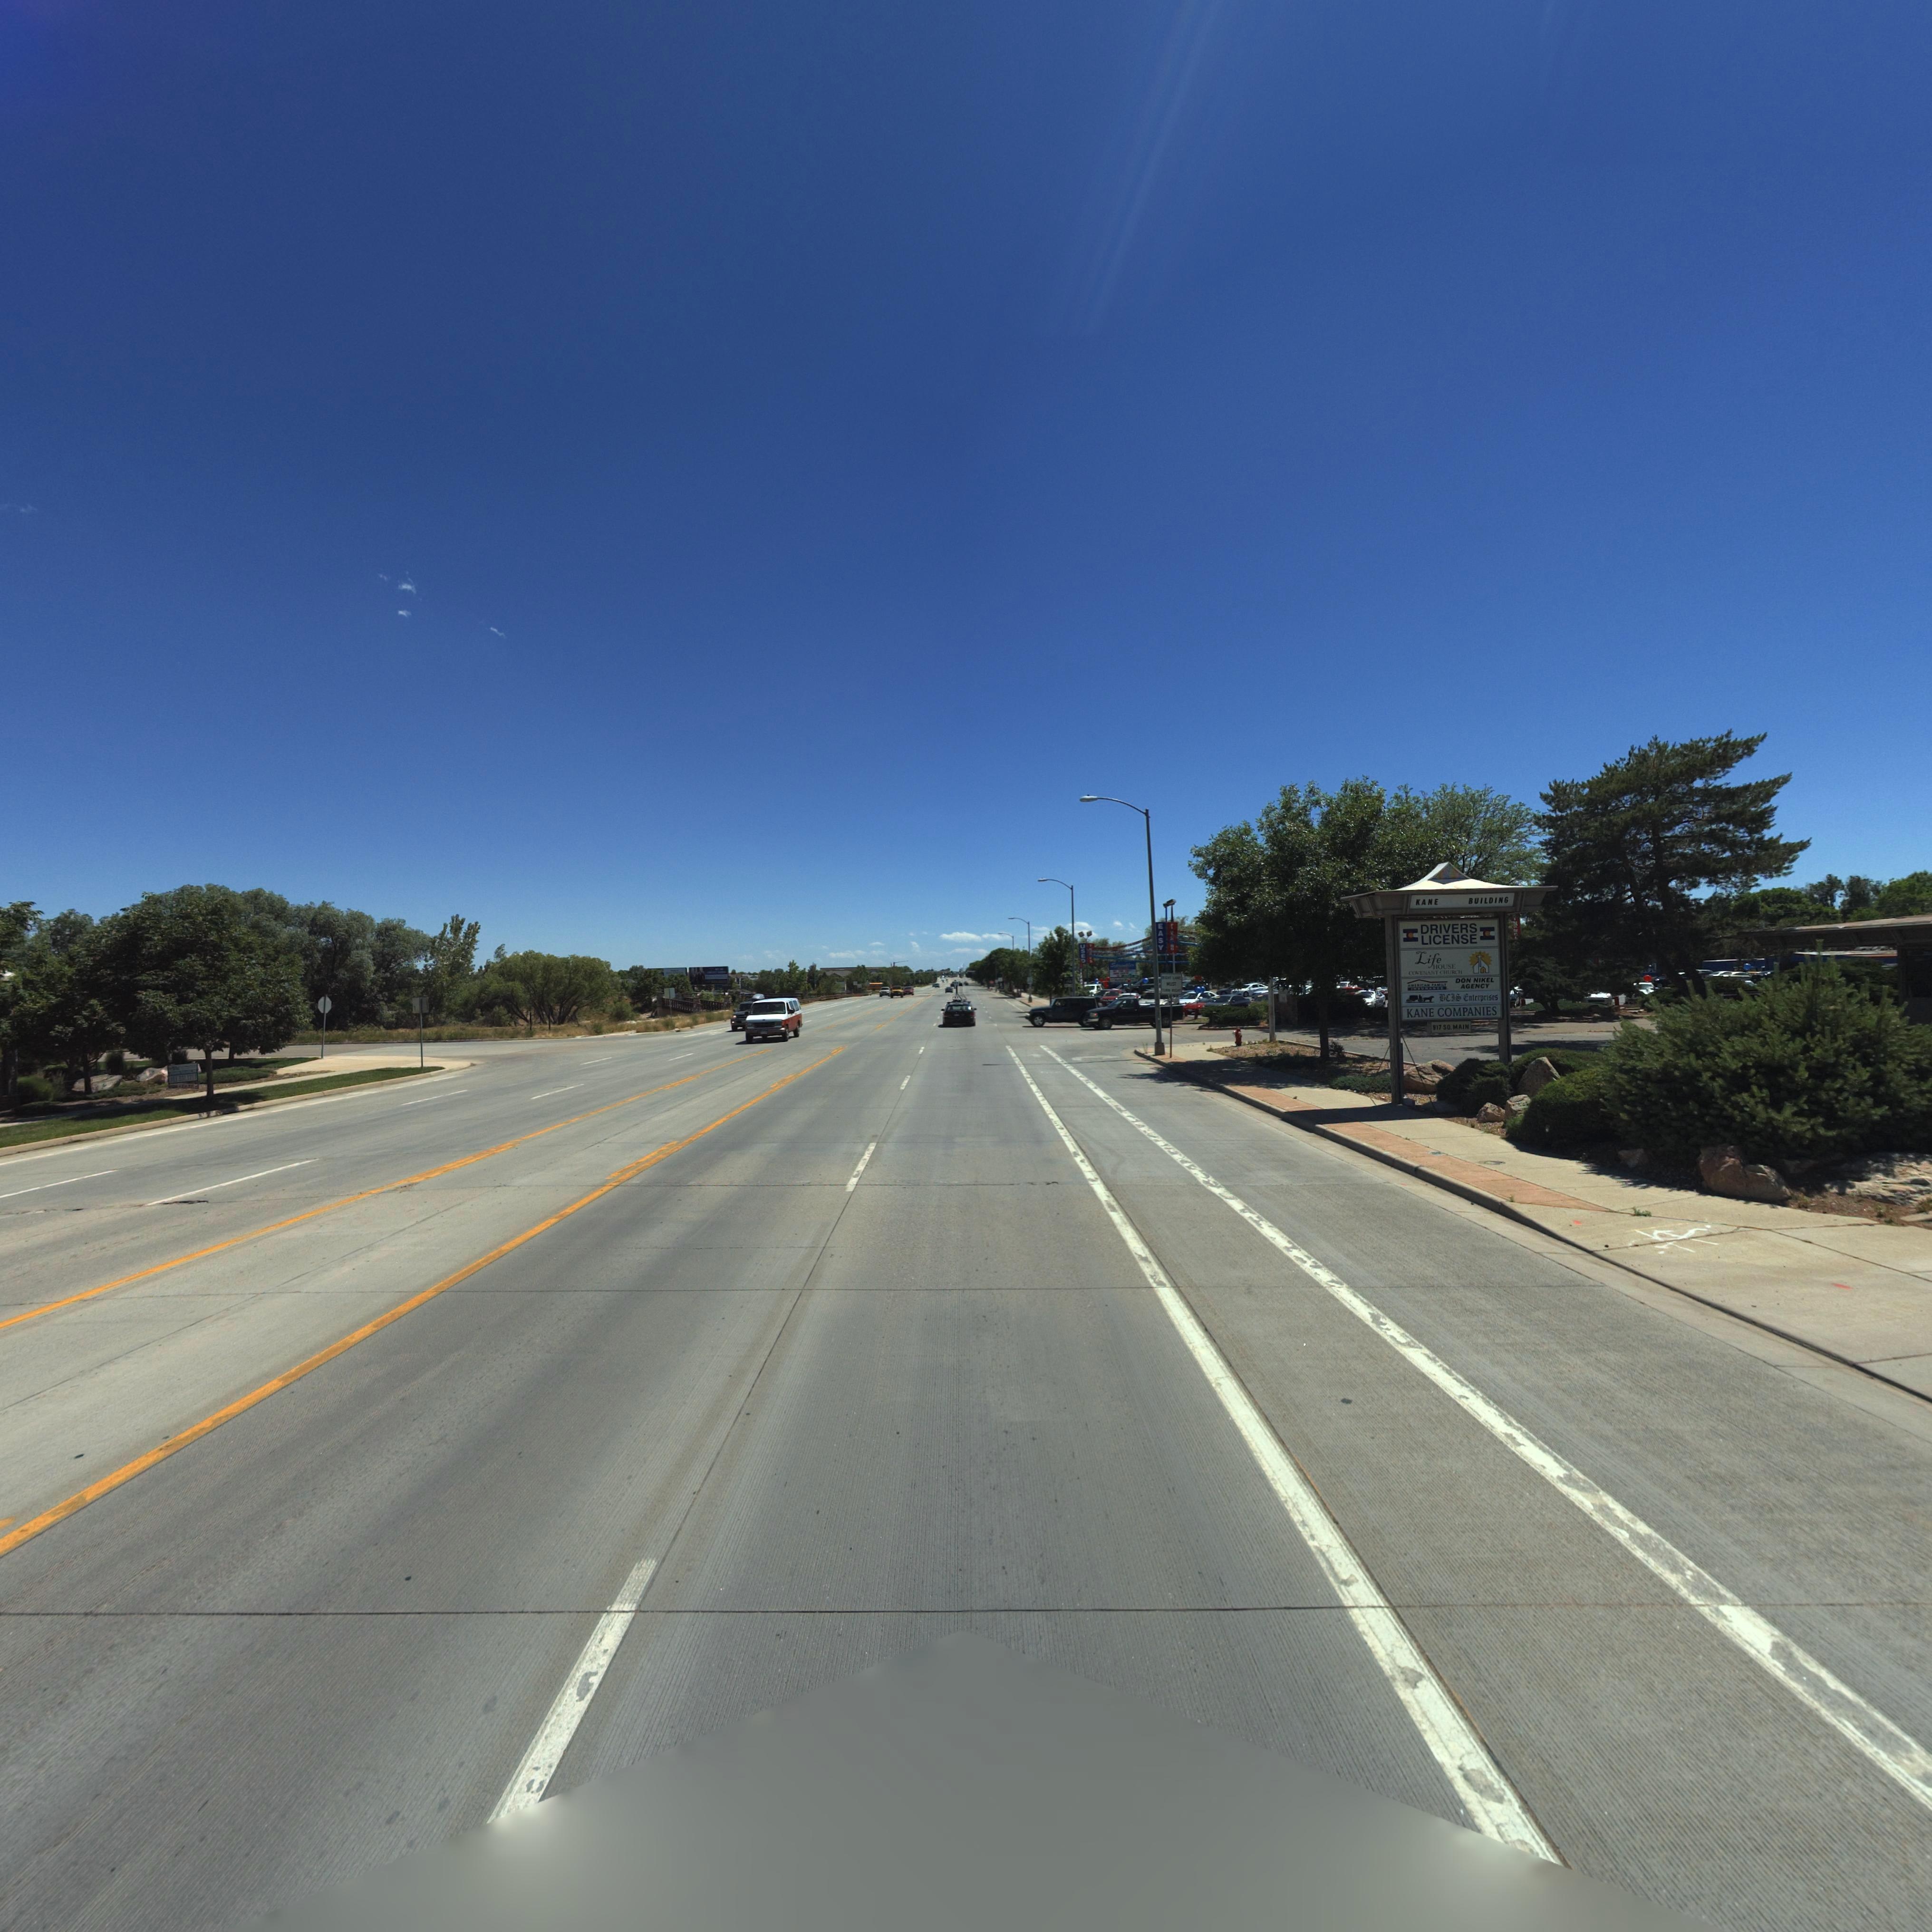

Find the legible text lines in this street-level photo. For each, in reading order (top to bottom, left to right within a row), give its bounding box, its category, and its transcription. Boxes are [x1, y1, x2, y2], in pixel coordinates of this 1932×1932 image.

[1415, 951, 1442, 965] BusinessName: Life
[1110, 962, 1135, 968] BusinessName: Sp*******ES
[1432, 963, 1456, 970] BusinessName: HOUSE
[1455, 977, 1494, 984] BusinessName: DON NIKEL
[1407, 983, 1447, 987] BusinessName: AMERICAN FAMILY
[1410, 986, 1443, 990] BusinessName: INSURANCE
[1459, 983, 1490, 989] BusinessName: AGENCY
[1439, 992, 1498, 1003] BusinessName: BCIS Enterprises
[1406, 1006, 1497, 1018] BusinessName: KANE COMPANIES
[1432, 1024, 1441, 1030] StreetNumber: 917
[1443, 1023, 1469, 1030] StreetName: SO MAIN